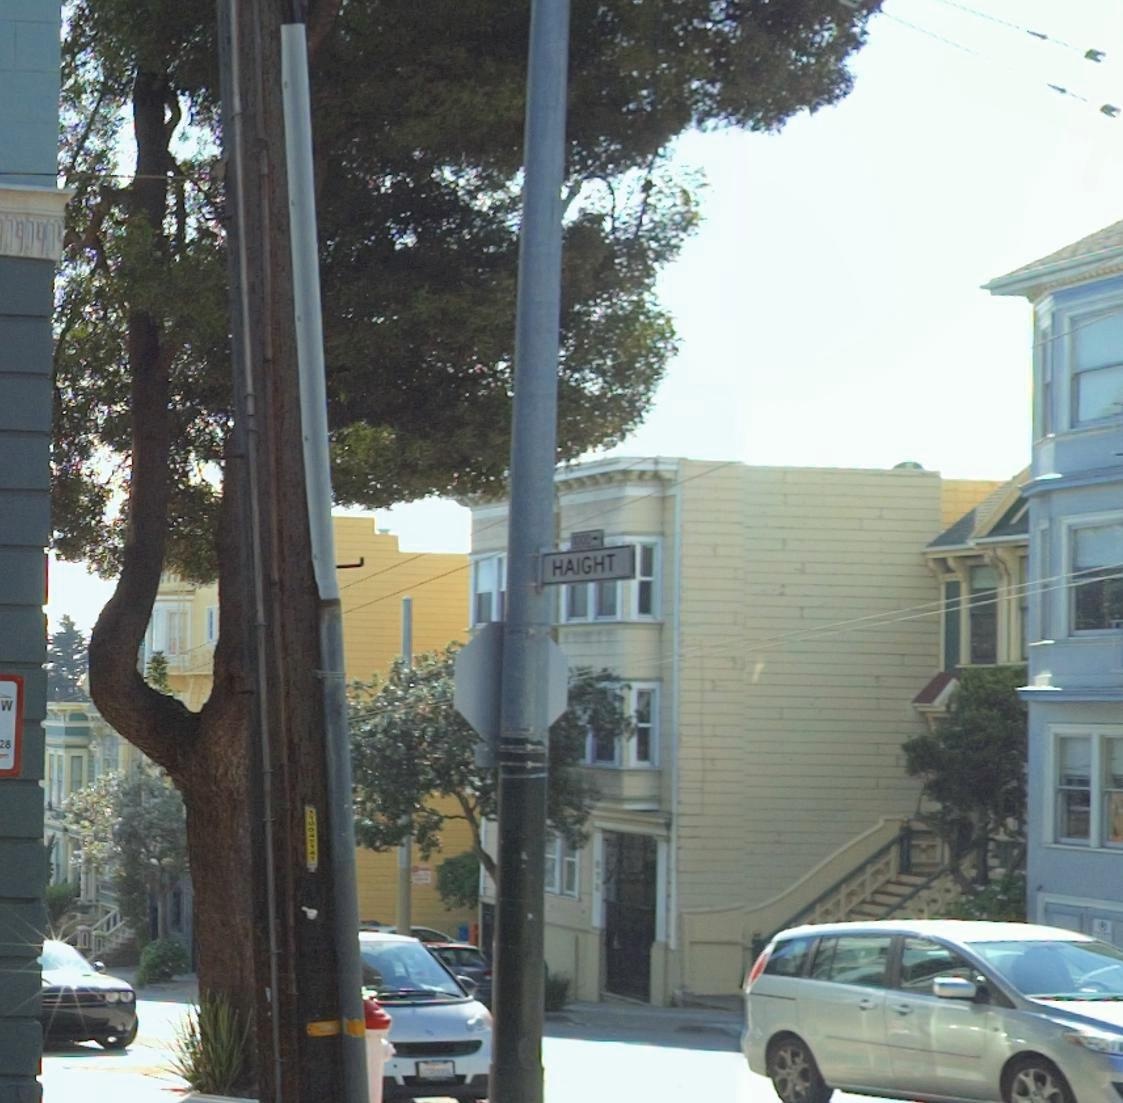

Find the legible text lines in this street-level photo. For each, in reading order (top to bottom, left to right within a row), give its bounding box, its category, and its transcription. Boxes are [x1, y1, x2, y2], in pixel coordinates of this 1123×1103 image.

[570, 530, 601, 548] StreetNumberRange: 1000->
[551, 552, 617, 579] StreetName: HAIGHT
[0, 696, 14, 713] None: w
[0, 736, 12, 750] None: 28